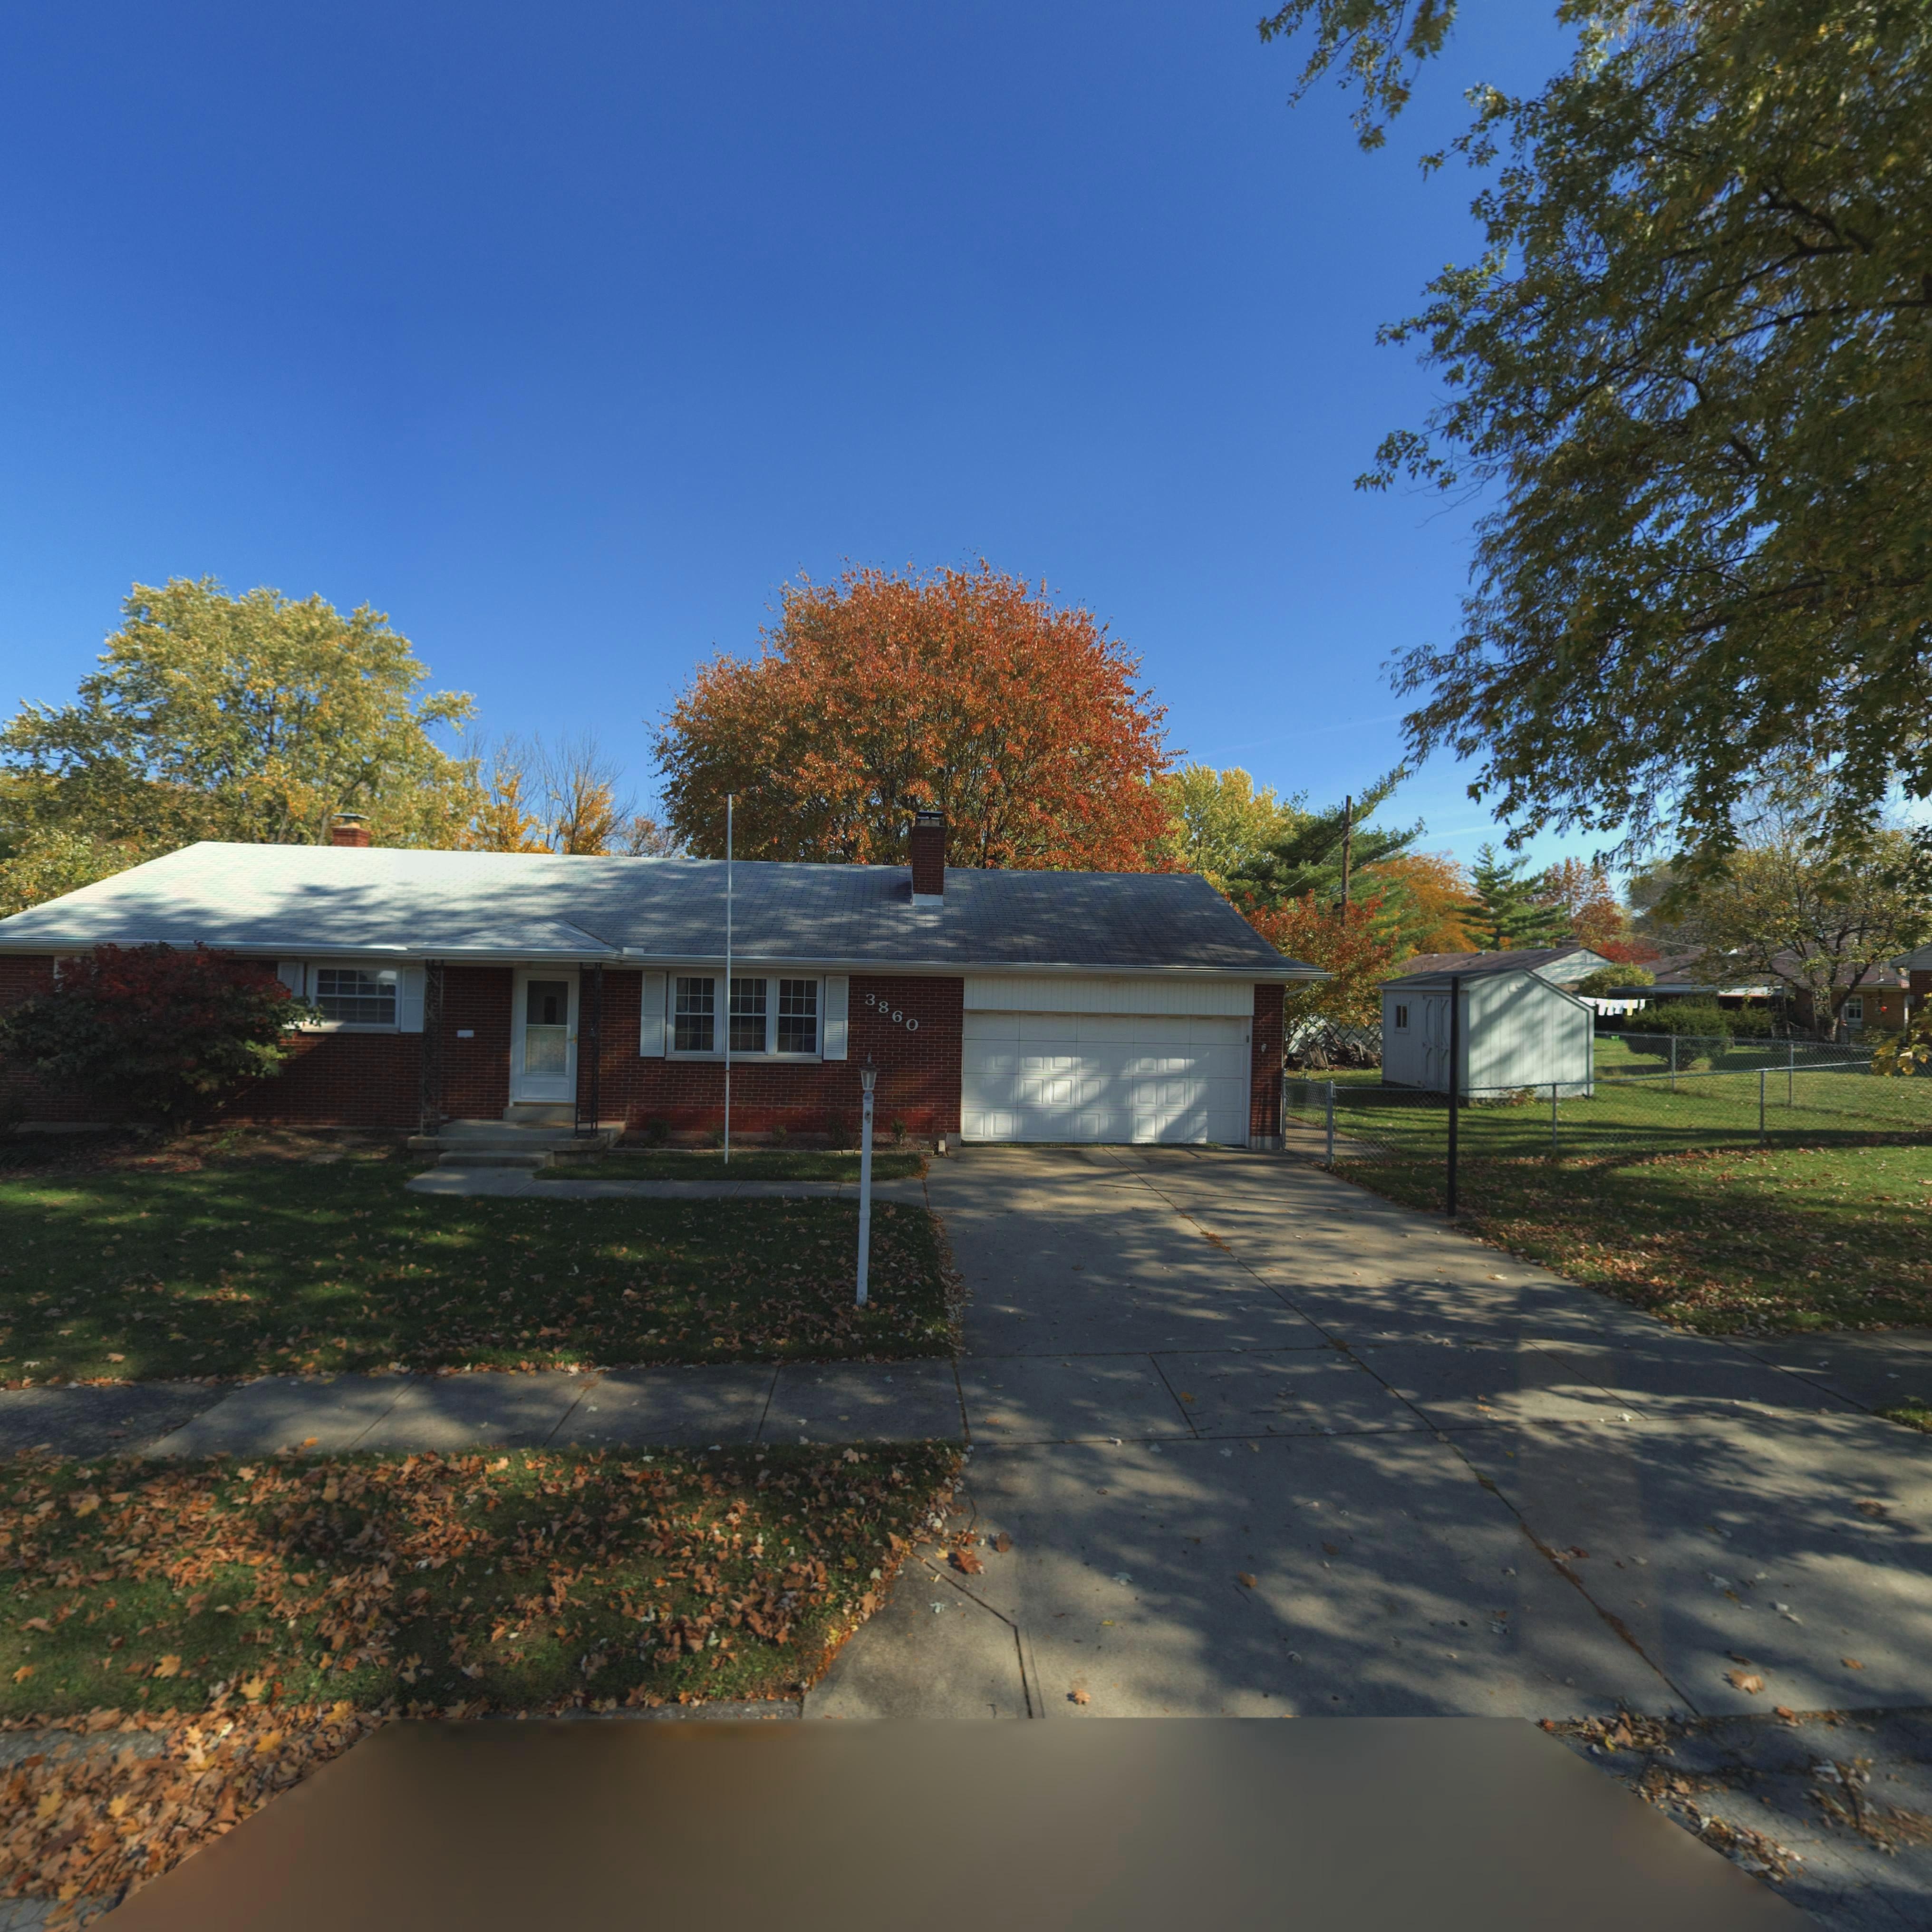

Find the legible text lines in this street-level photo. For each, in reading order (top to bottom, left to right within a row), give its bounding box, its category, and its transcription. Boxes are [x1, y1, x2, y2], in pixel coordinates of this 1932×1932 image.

[863, 992, 920, 1033] StreetNumber: 3860